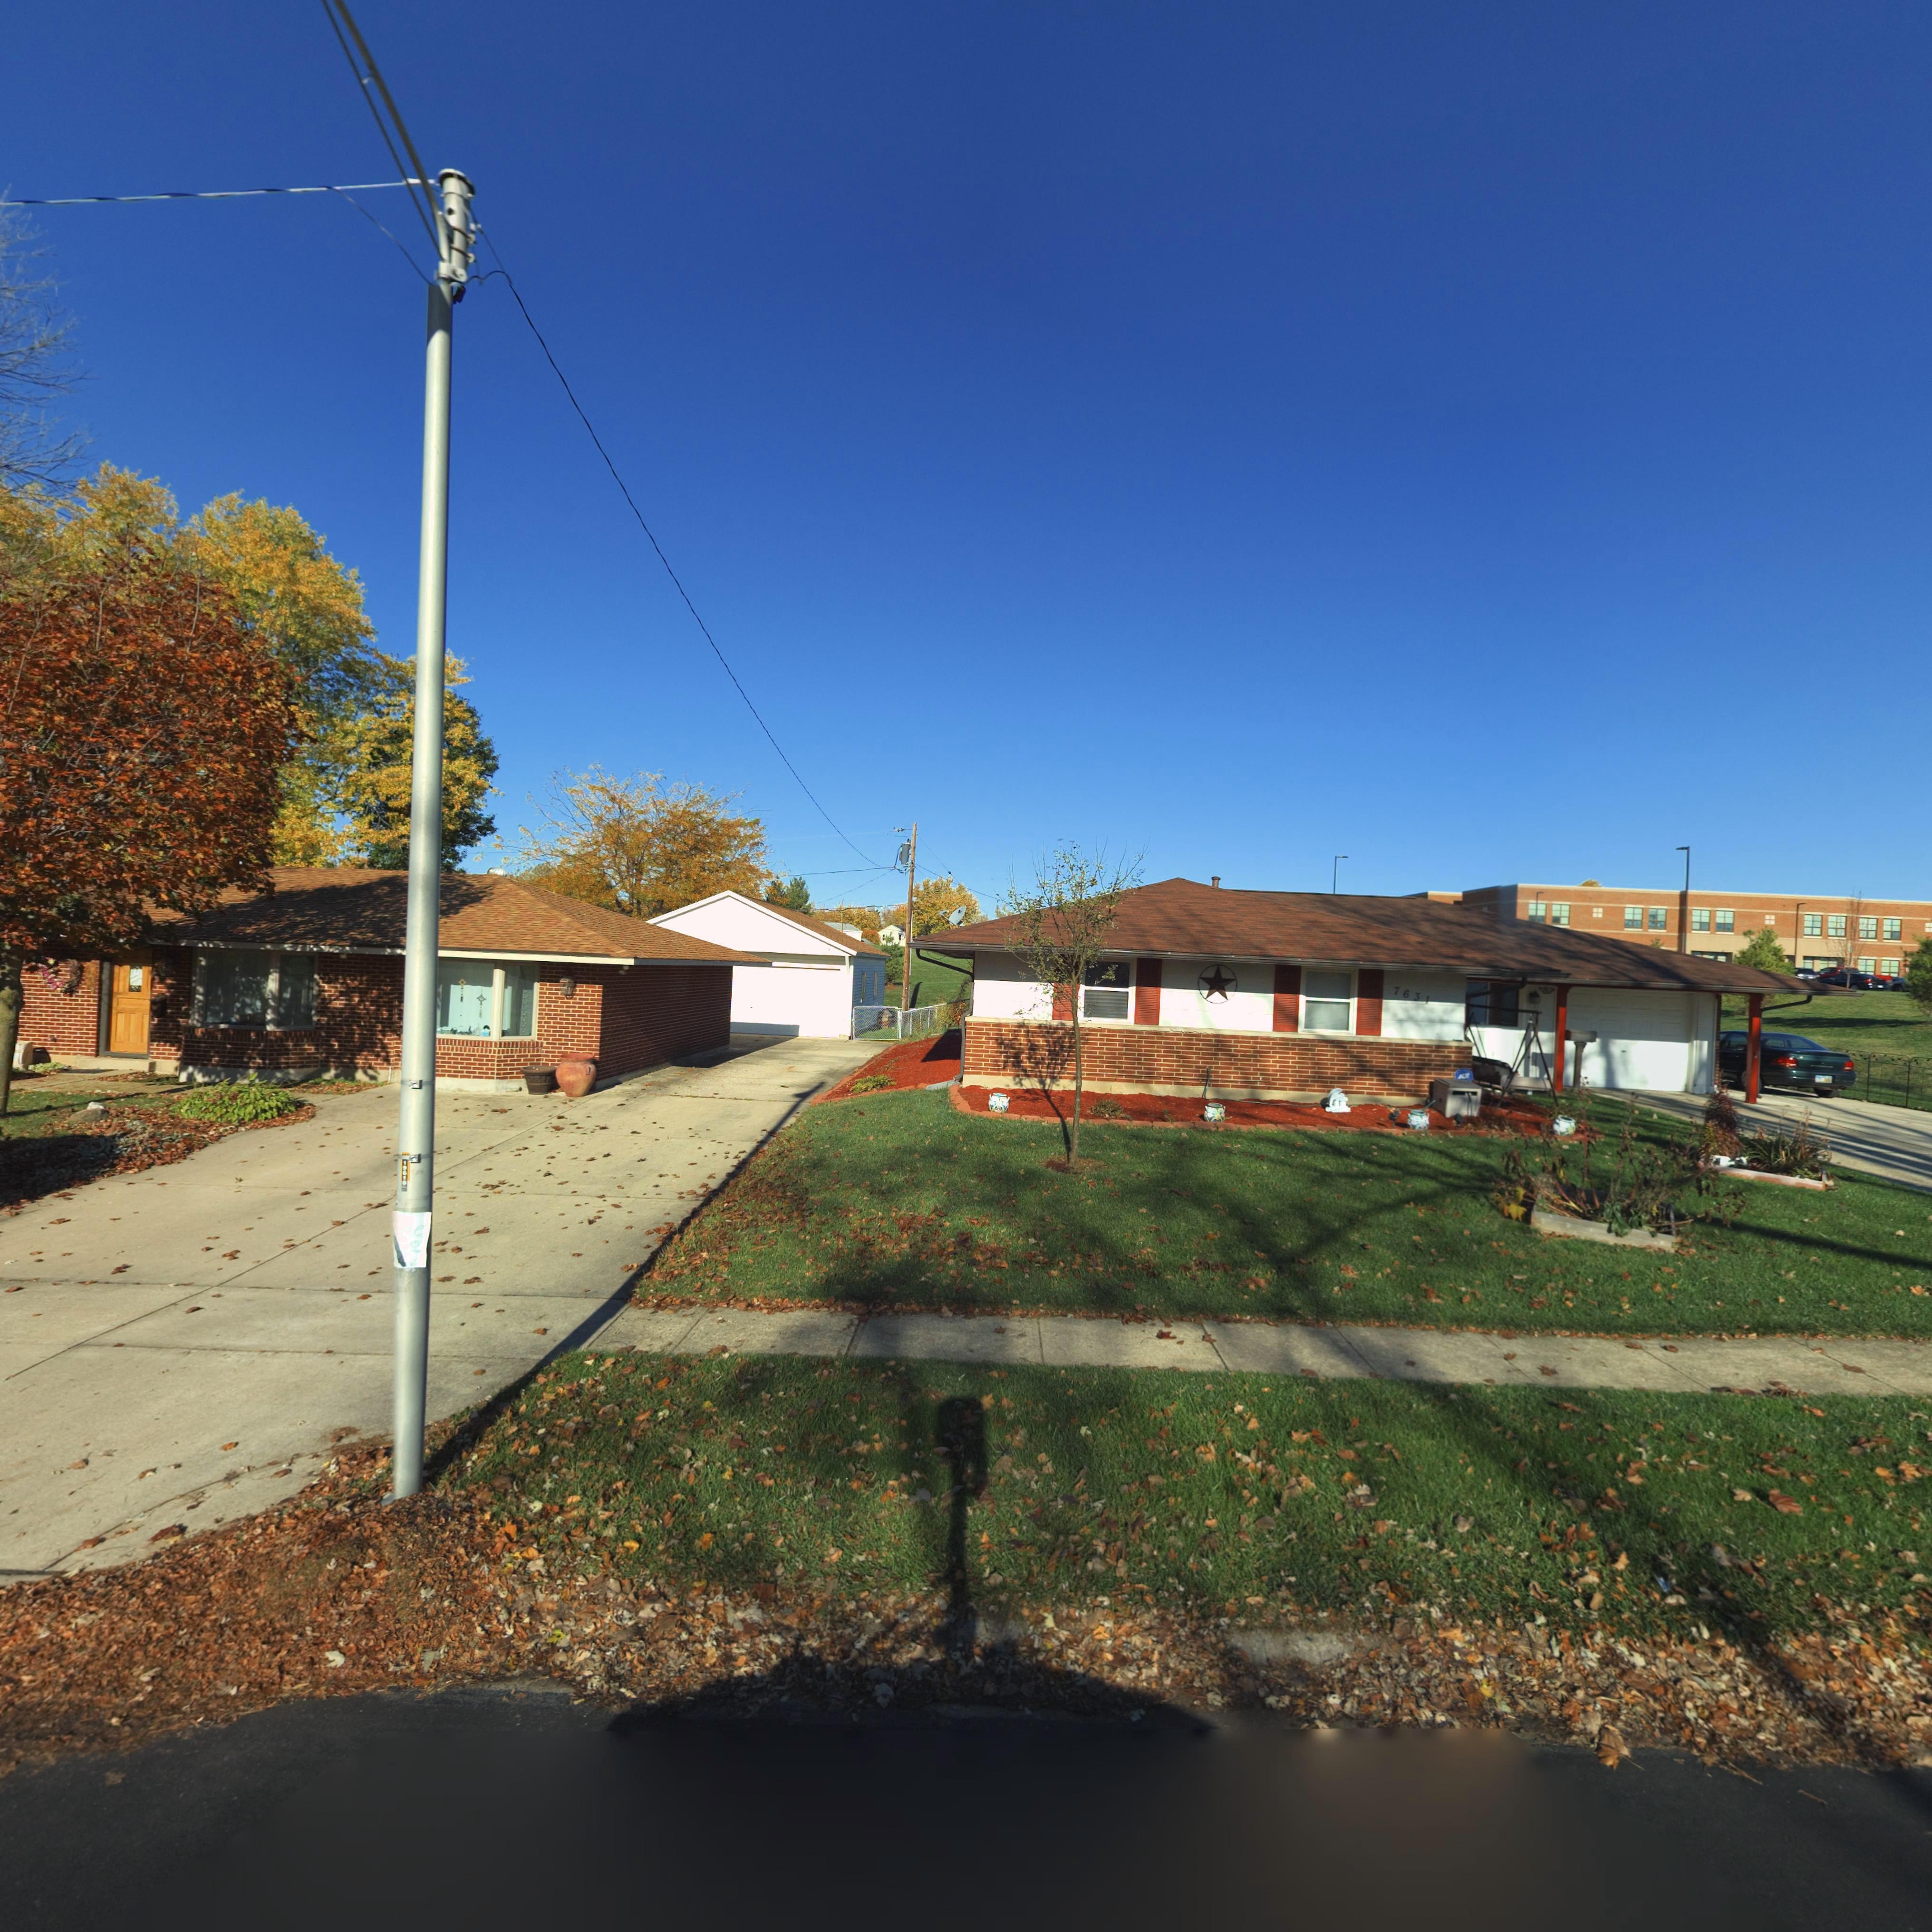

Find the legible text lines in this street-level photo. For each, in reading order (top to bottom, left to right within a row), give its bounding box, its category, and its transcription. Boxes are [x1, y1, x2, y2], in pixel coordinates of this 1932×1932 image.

[1393, 985, 1431, 1006] StreetNumber: 7631